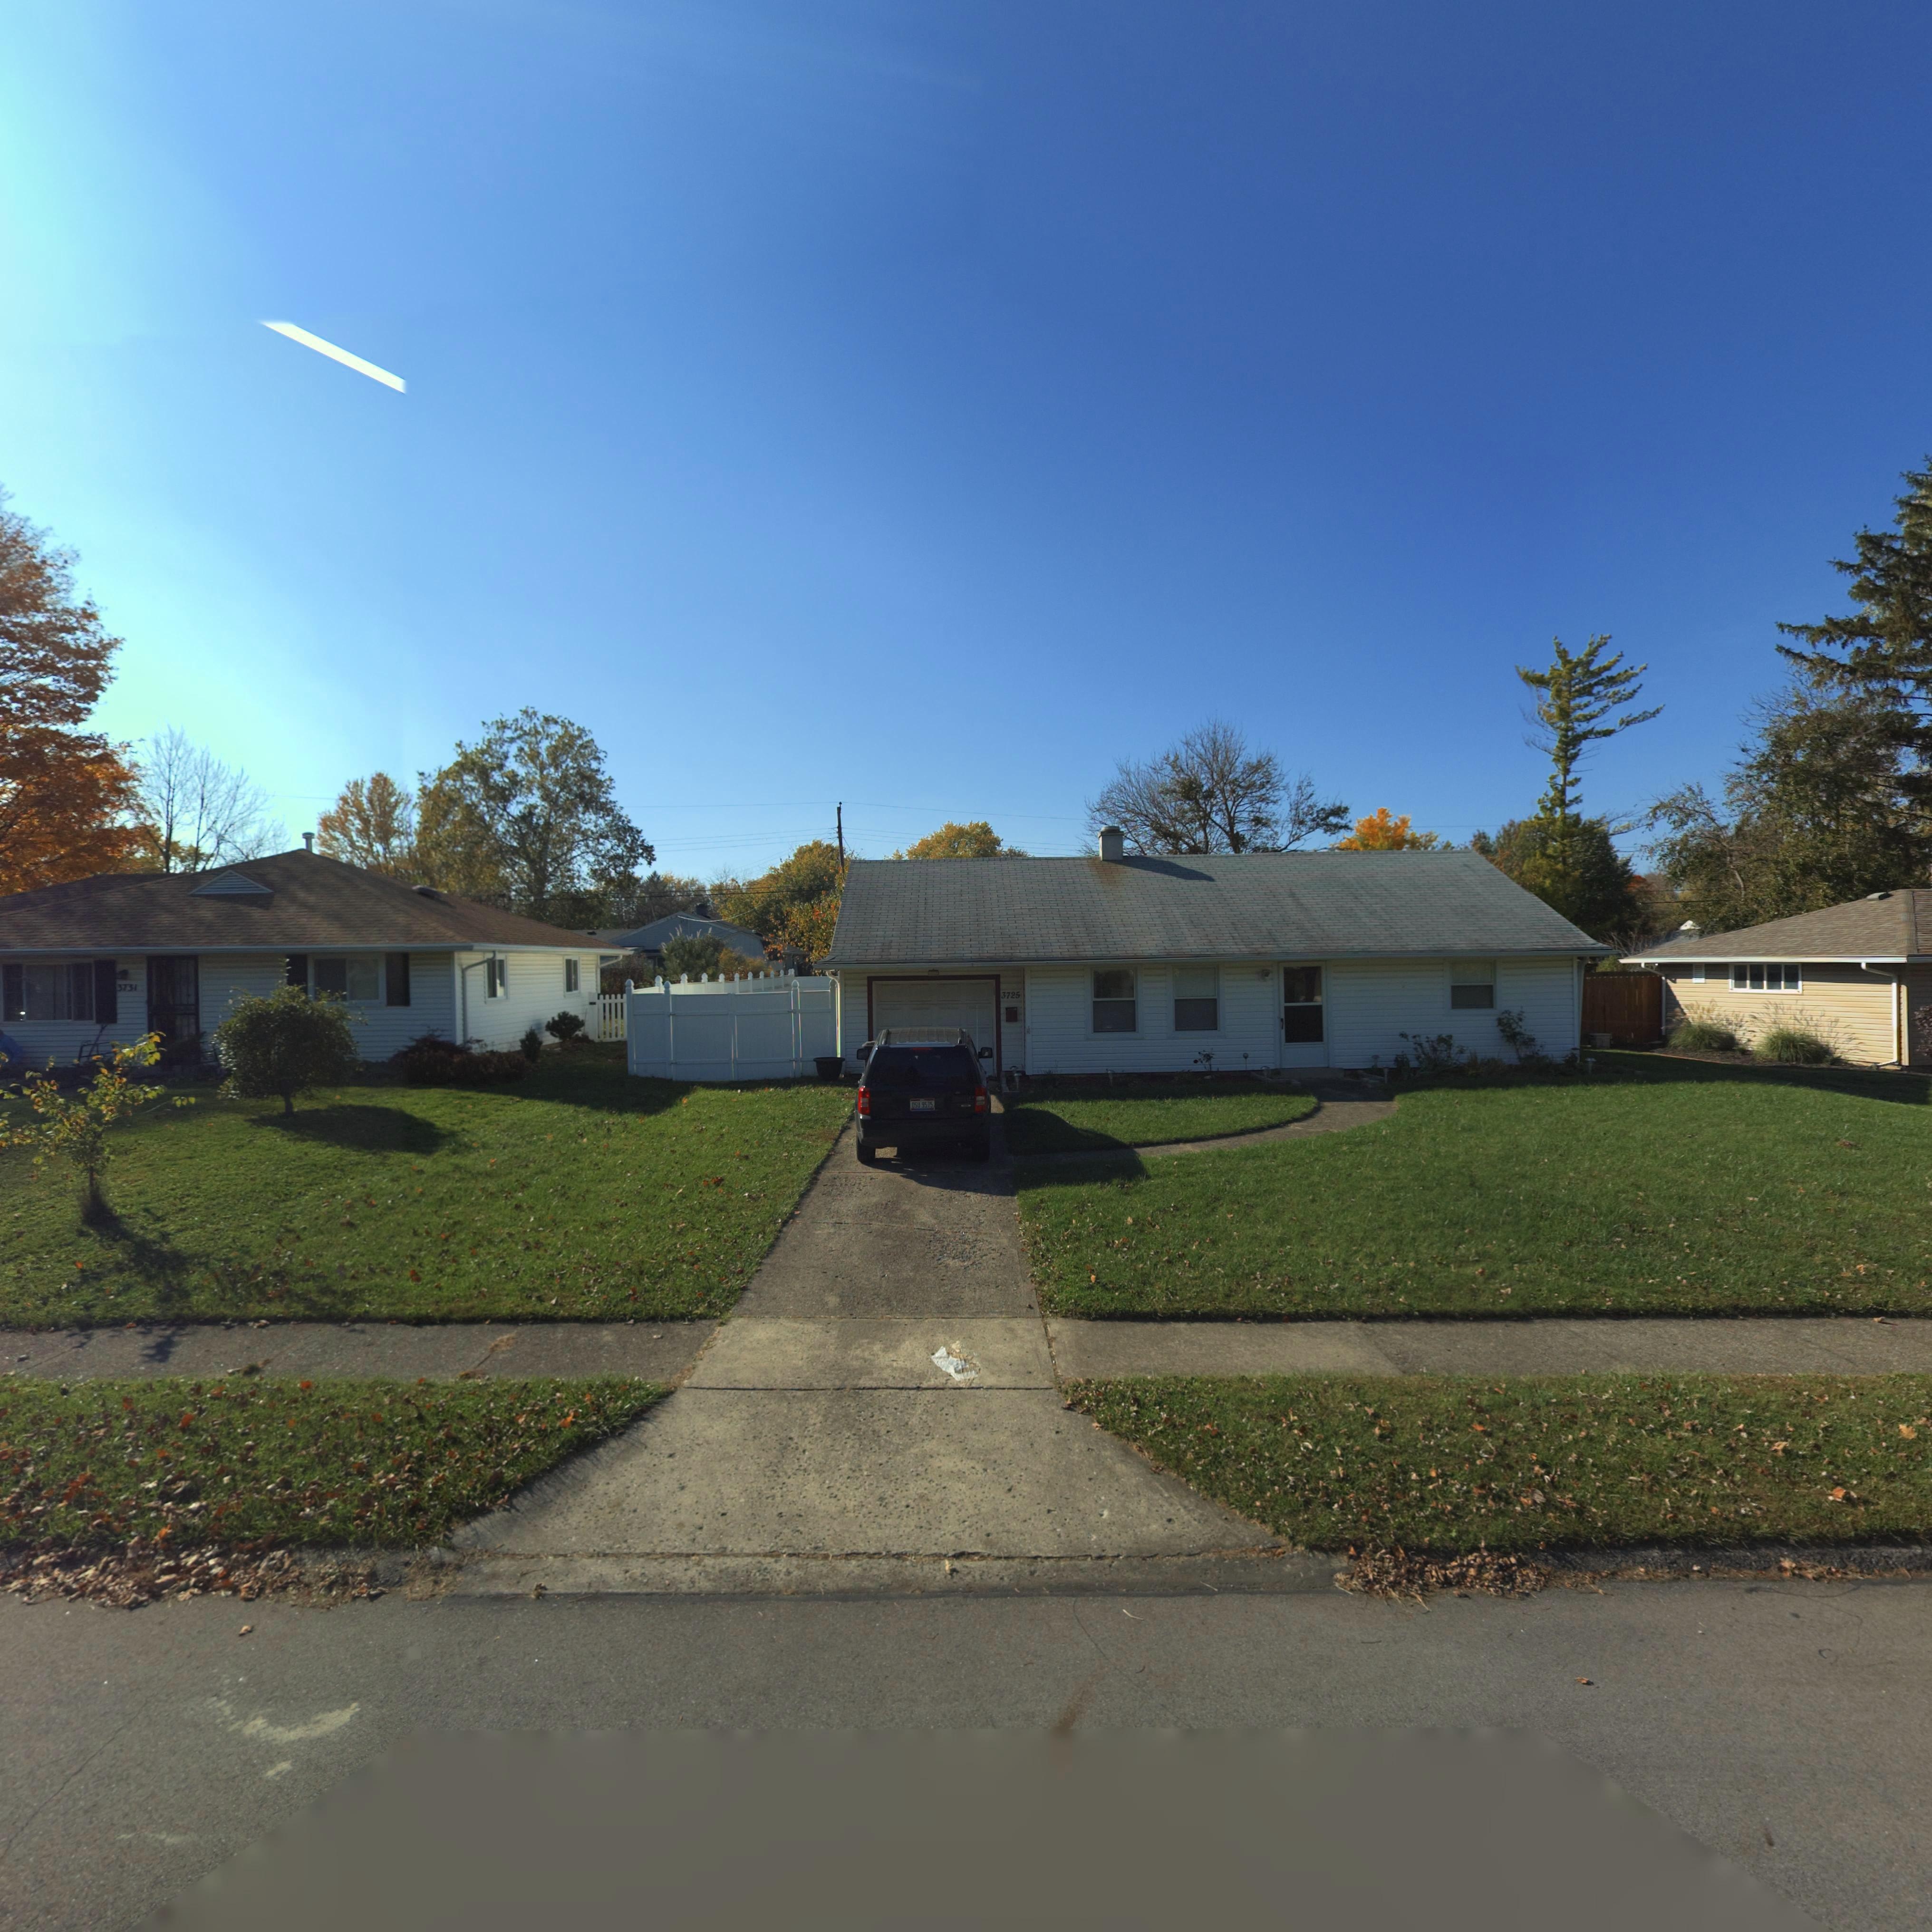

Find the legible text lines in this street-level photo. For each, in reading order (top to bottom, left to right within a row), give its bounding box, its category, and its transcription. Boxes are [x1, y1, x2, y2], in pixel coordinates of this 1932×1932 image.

[116, 984, 137, 991] StreetNumber: 3731
[1001, 991, 1021, 999] StreetNumber: 3725
[911, 1101, 933, 1109] None: OSU*9575